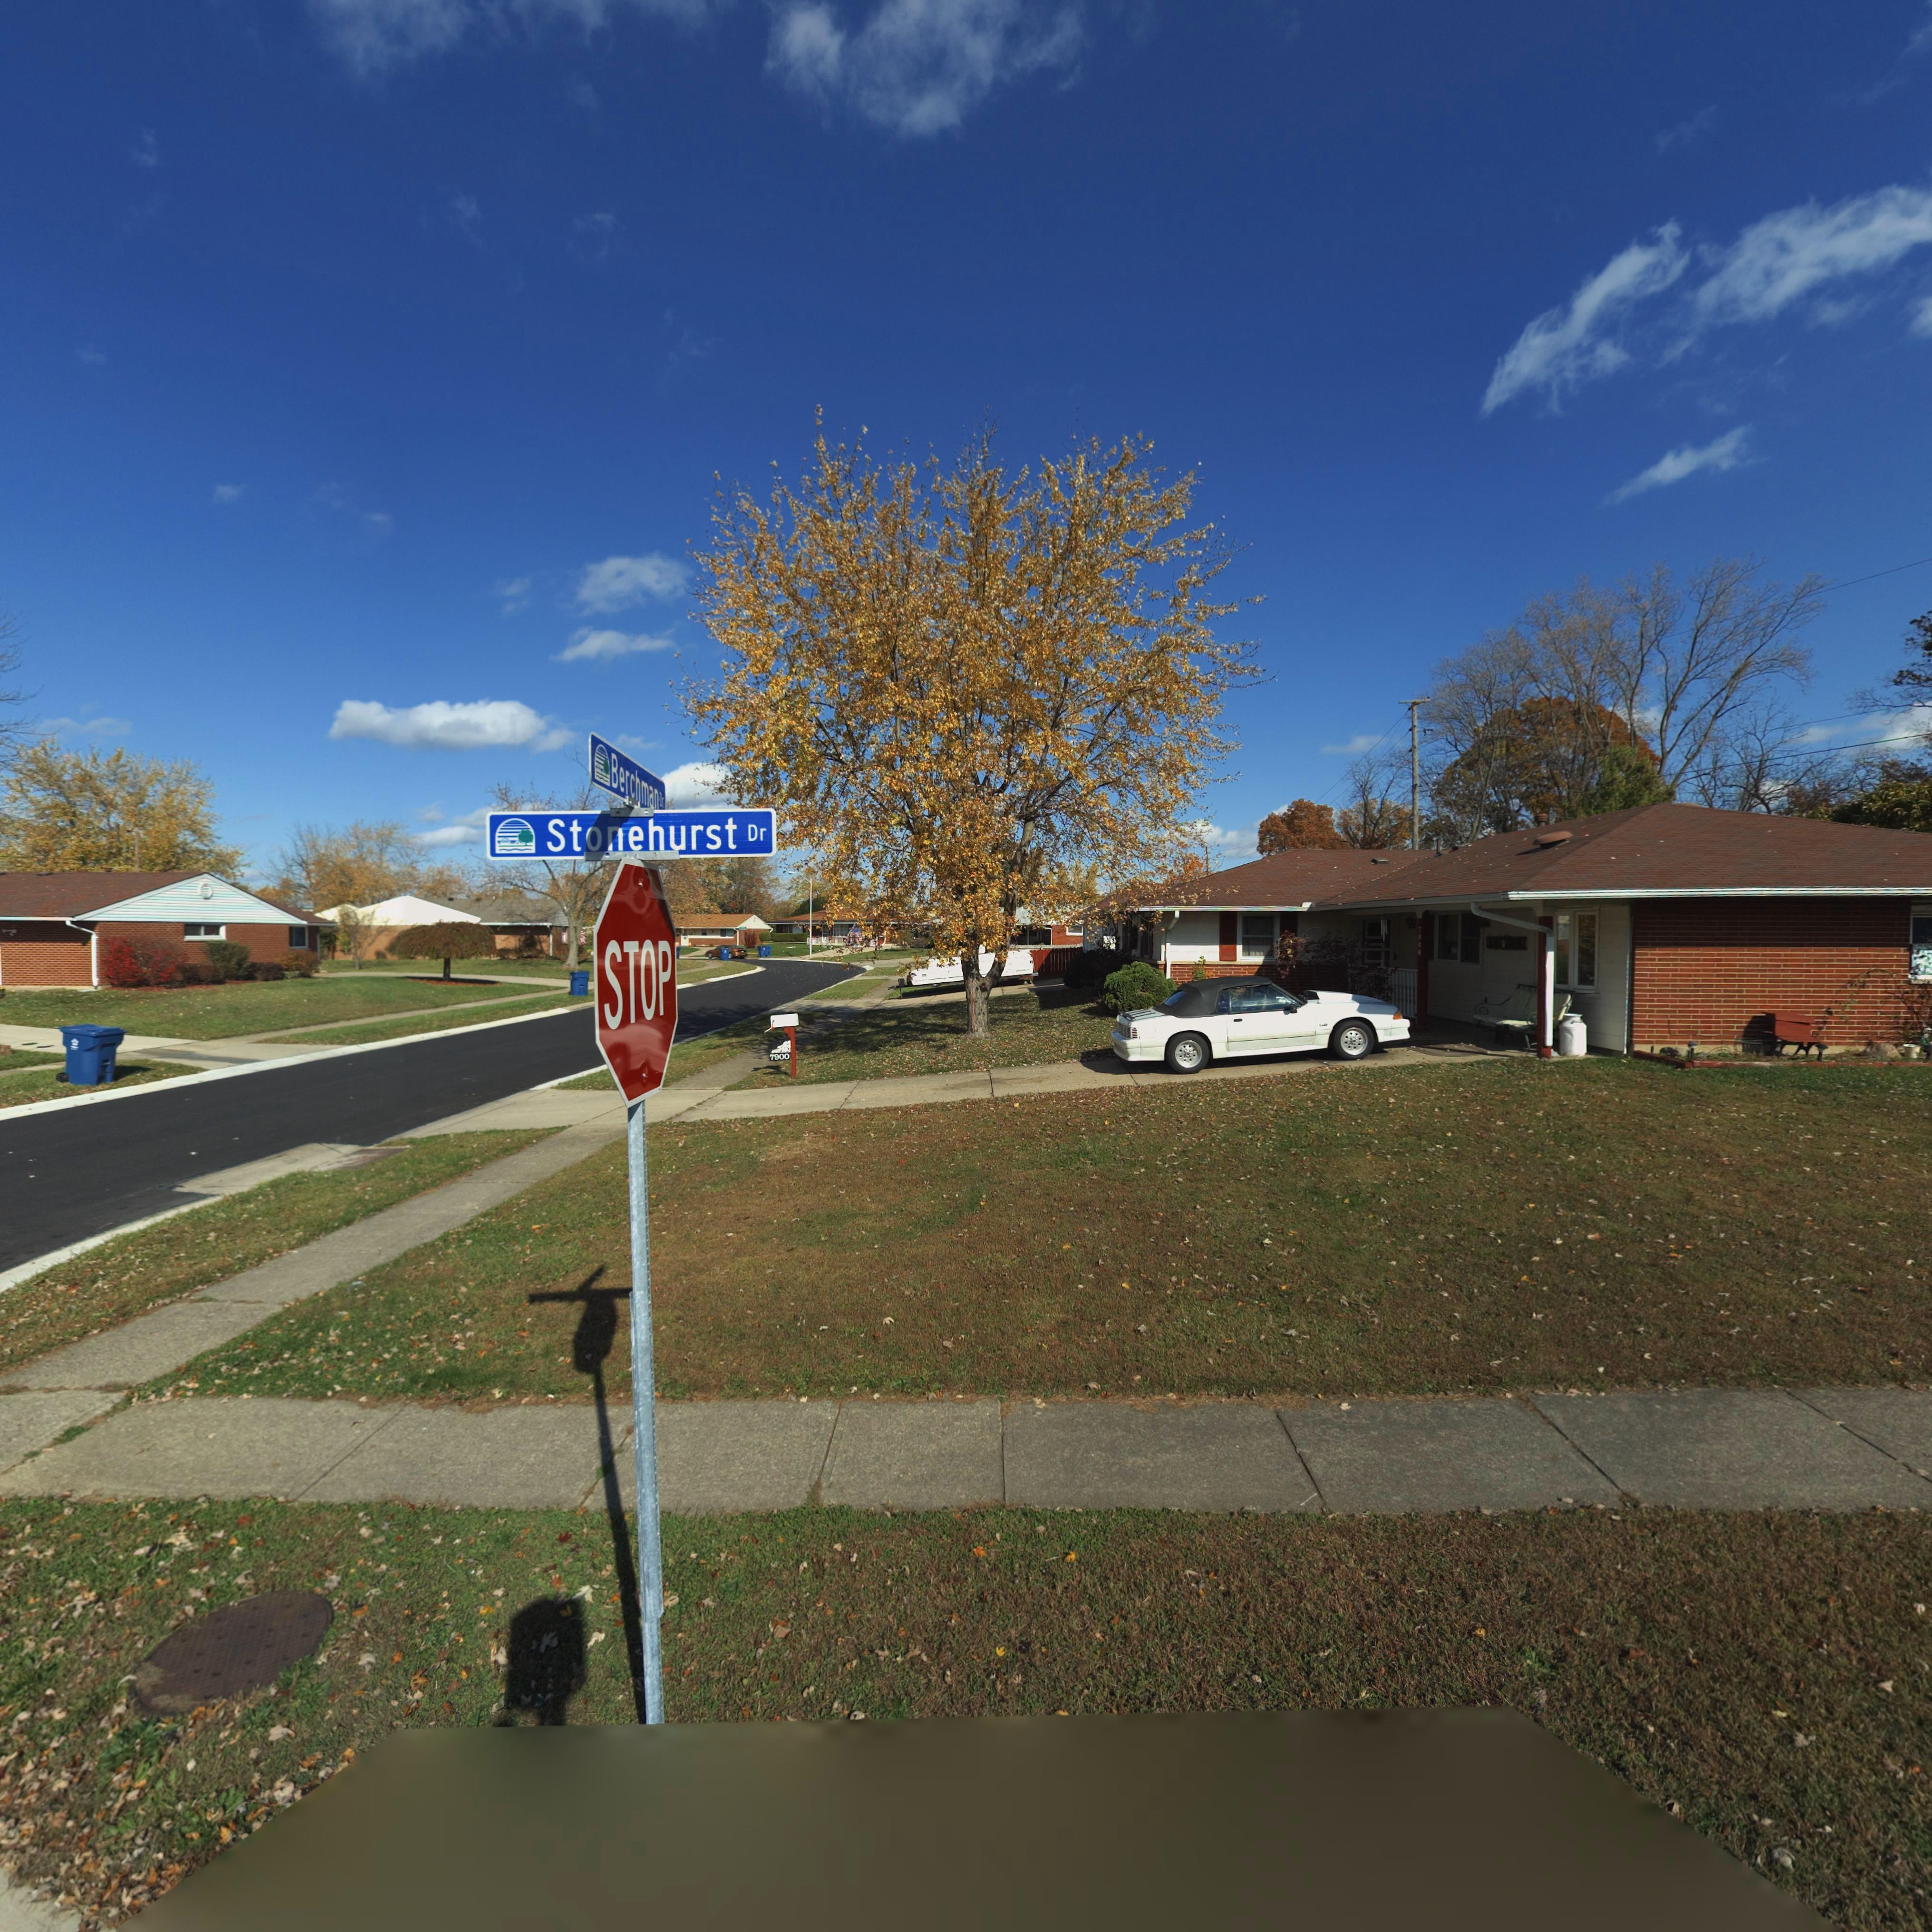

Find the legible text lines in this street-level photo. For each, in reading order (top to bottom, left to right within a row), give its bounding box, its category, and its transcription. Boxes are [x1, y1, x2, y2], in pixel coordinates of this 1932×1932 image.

[1417, 926, 1421, 956] StreetNumber: 7900
[769, 1053, 790, 1061] StreetNumber: 7900